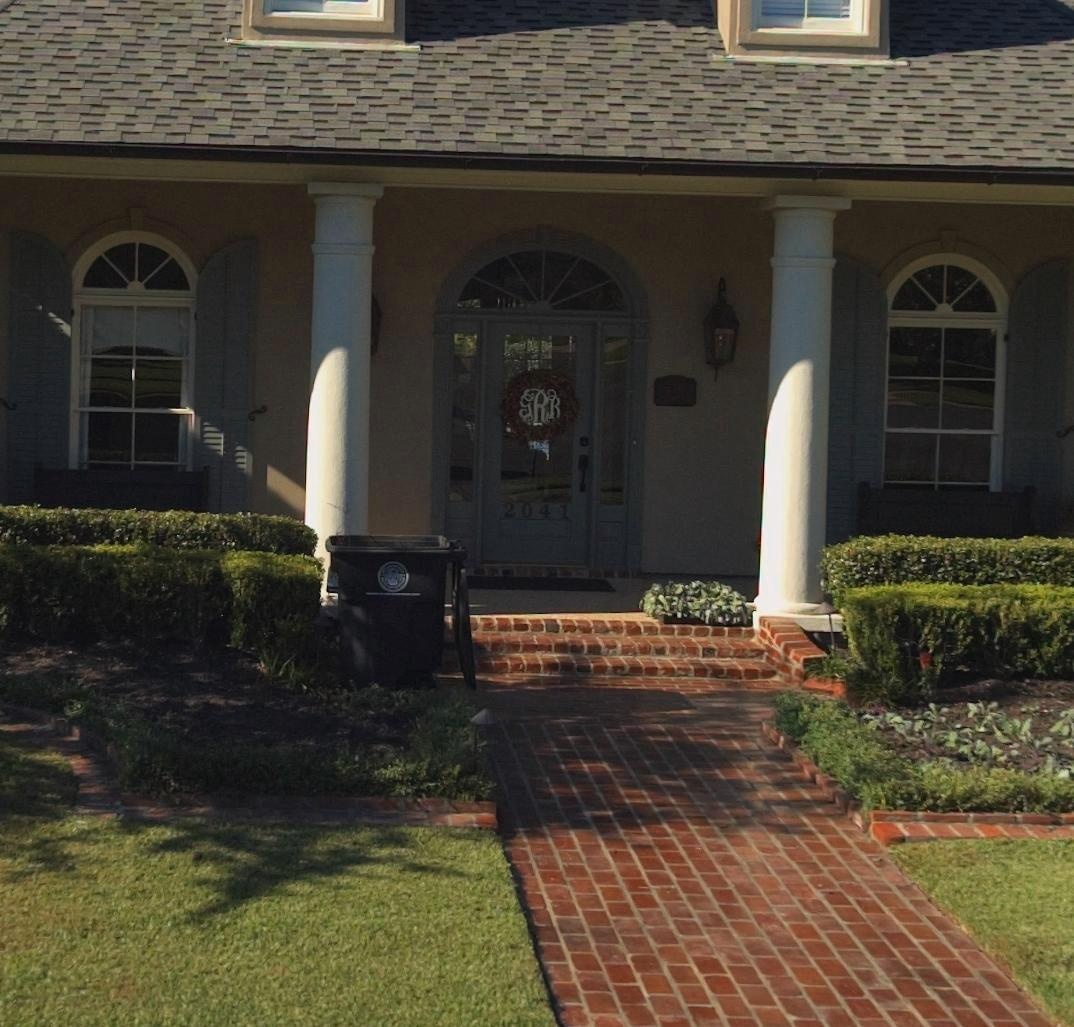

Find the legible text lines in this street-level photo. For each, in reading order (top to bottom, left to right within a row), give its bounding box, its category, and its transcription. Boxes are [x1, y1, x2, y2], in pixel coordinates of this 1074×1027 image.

[529, 387, 562, 424] None: RB
[502, 500, 570, 522] StreetNumber: 2041